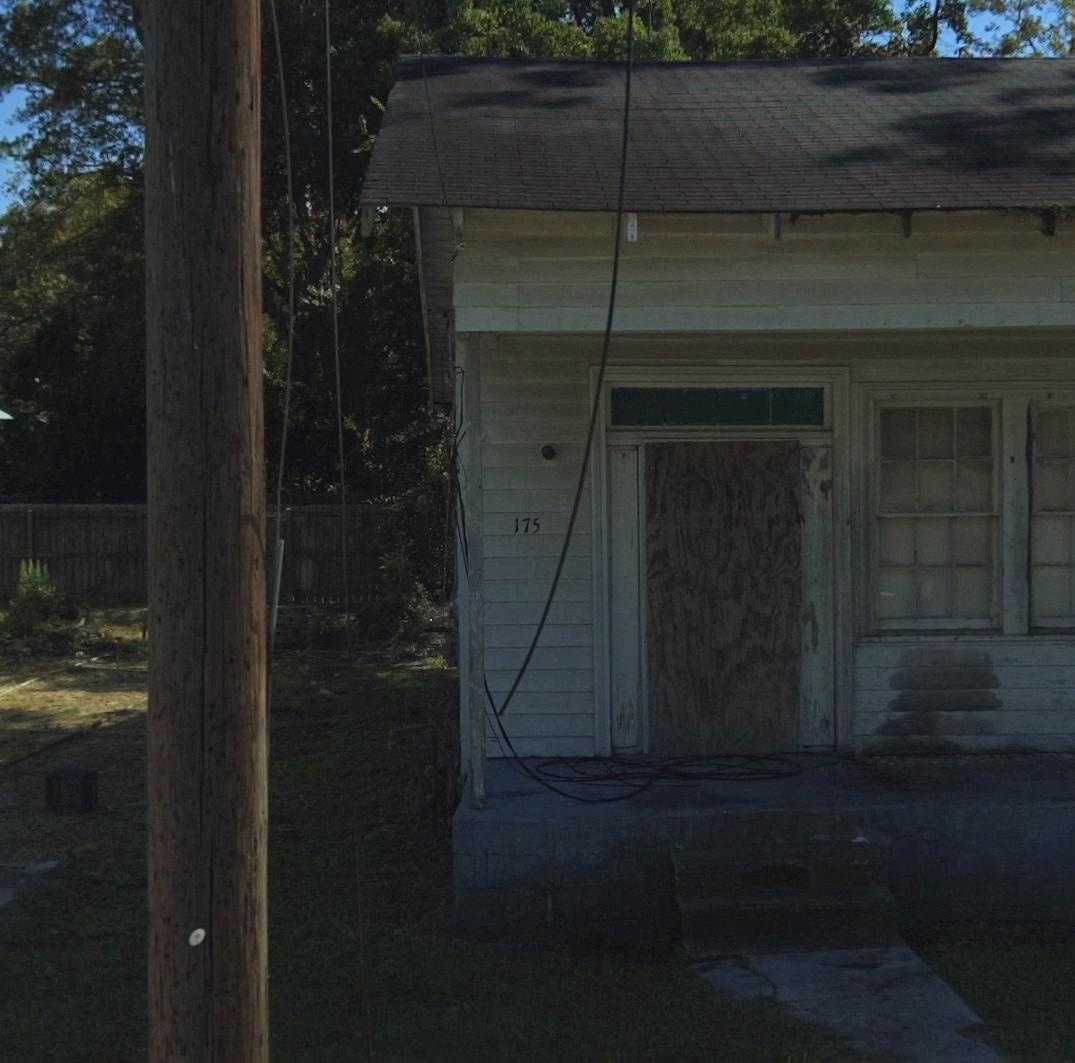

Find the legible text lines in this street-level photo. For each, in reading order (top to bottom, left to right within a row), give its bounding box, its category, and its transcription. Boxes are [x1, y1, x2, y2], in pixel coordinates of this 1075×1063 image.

[511, 515, 542, 536] StreetNumber: 175